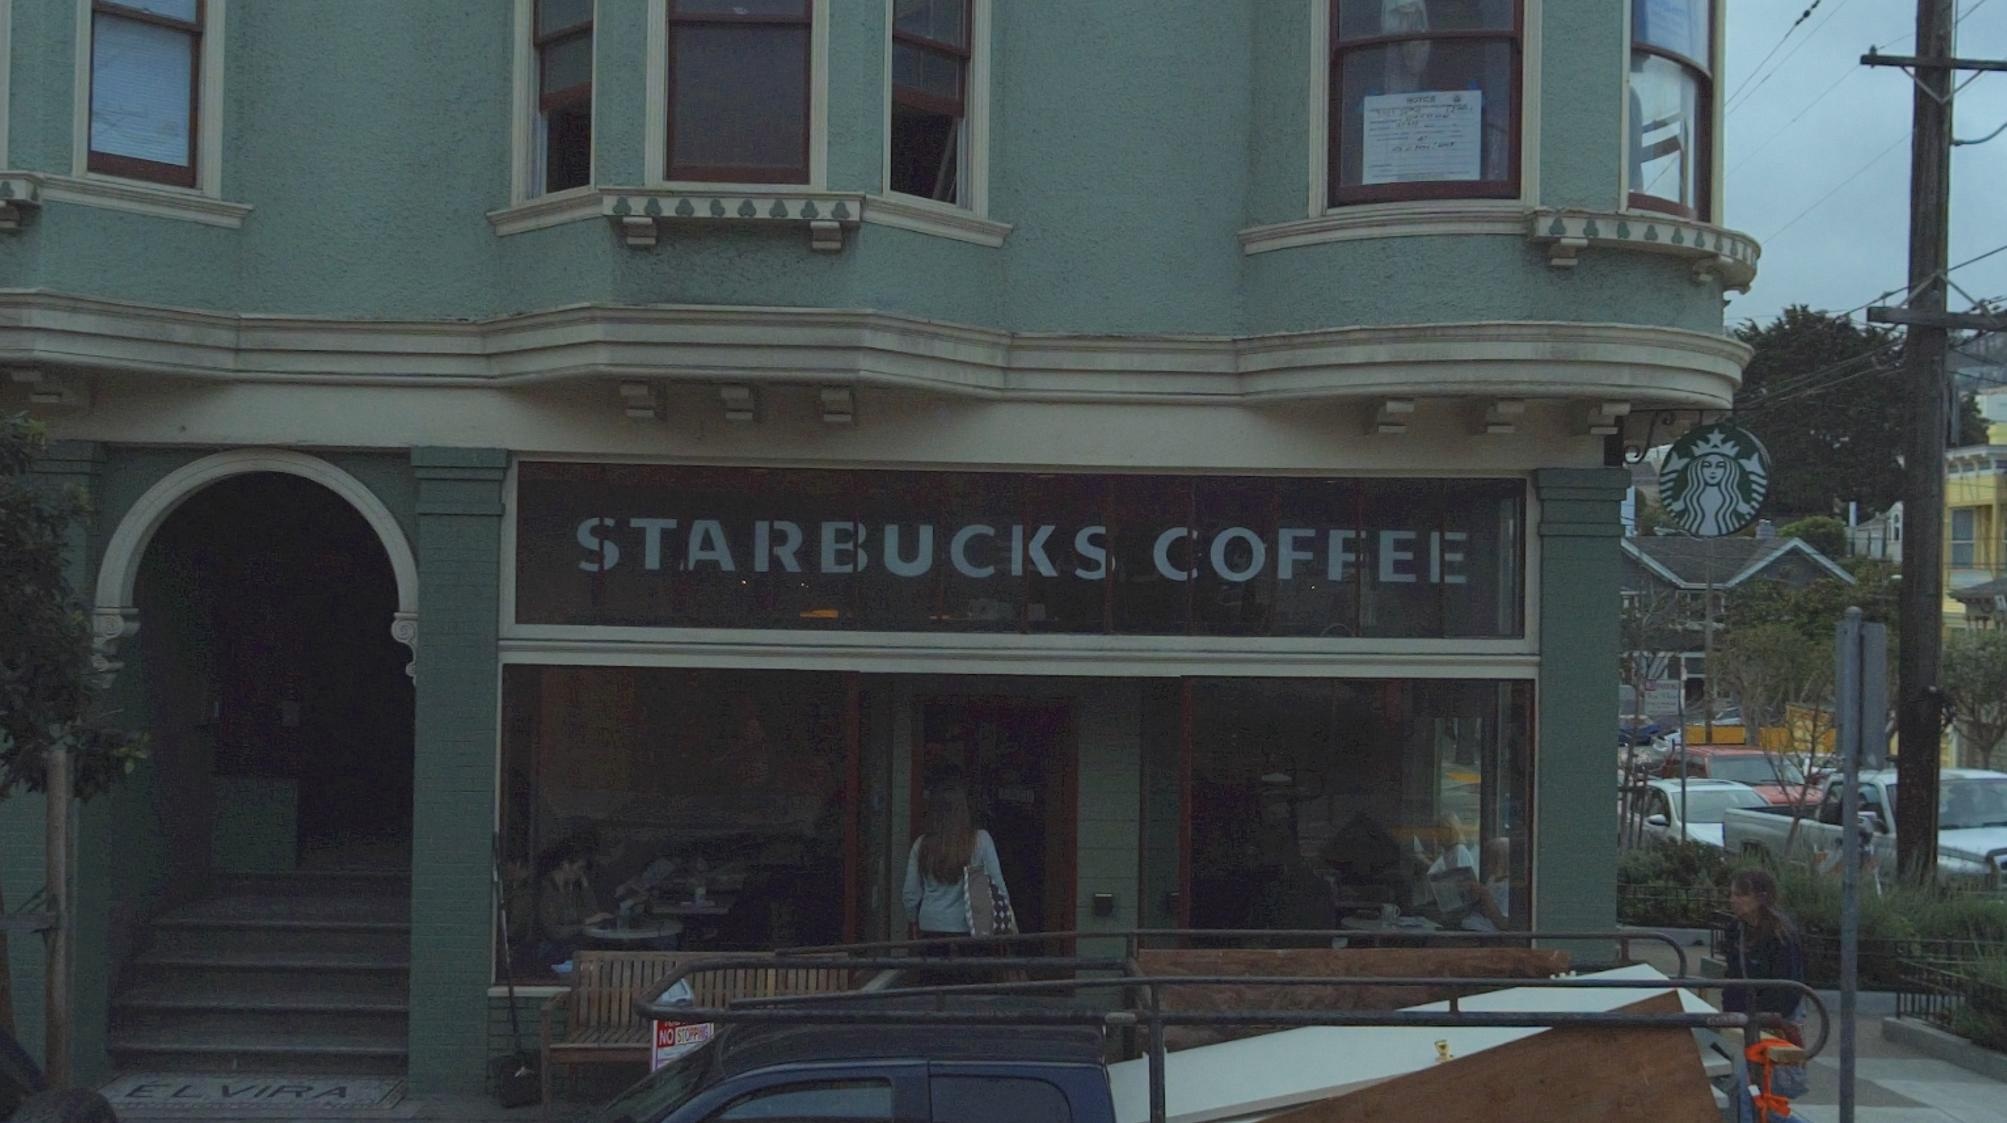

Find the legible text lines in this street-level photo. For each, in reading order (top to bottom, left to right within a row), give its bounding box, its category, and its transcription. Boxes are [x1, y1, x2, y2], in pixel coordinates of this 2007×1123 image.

[1405, 94, 1437, 104] None: NOTICE
[574, 515, 1471, 587] BusinessName: STARBUCKS COFFEE
[658, 1023, 709, 1047] None: NO STOPP***
[118, 1082, 349, 1099] None: ELVIRA